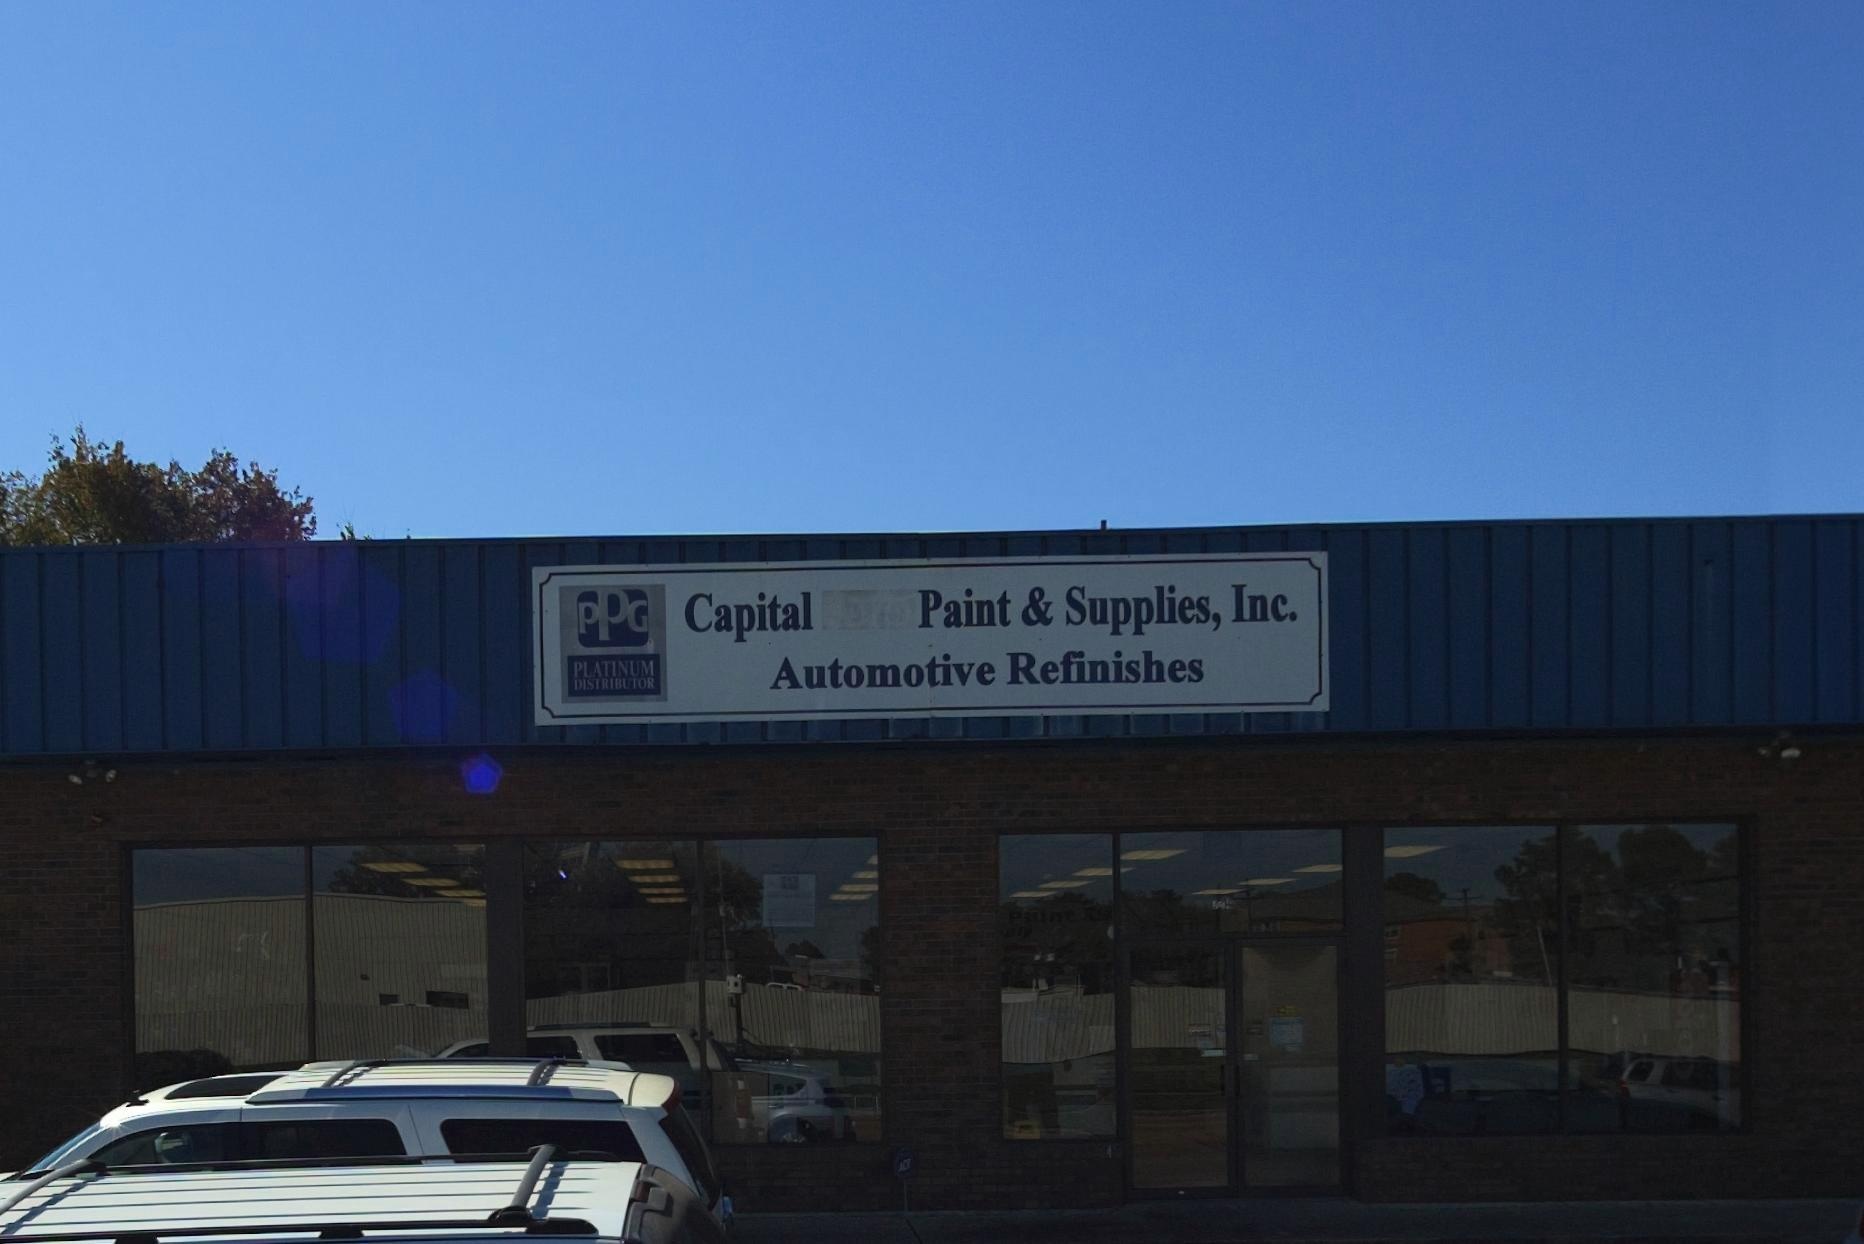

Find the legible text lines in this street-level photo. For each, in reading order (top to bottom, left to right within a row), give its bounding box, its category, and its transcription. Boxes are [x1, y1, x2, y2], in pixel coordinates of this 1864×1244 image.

[577, 586, 650, 644] None: PPG
[677, 578, 1305, 647] BusinessName: Capital **** Paint & Supplies, Inc.
[571, 656, 656, 680] None: PLATINUM
[571, 674, 658, 694] None: DISTRIBUTOR
[765, 645, 1208, 694] None: Automotive Refinishes
[1006, 907, 1078, 928] None: P**N*